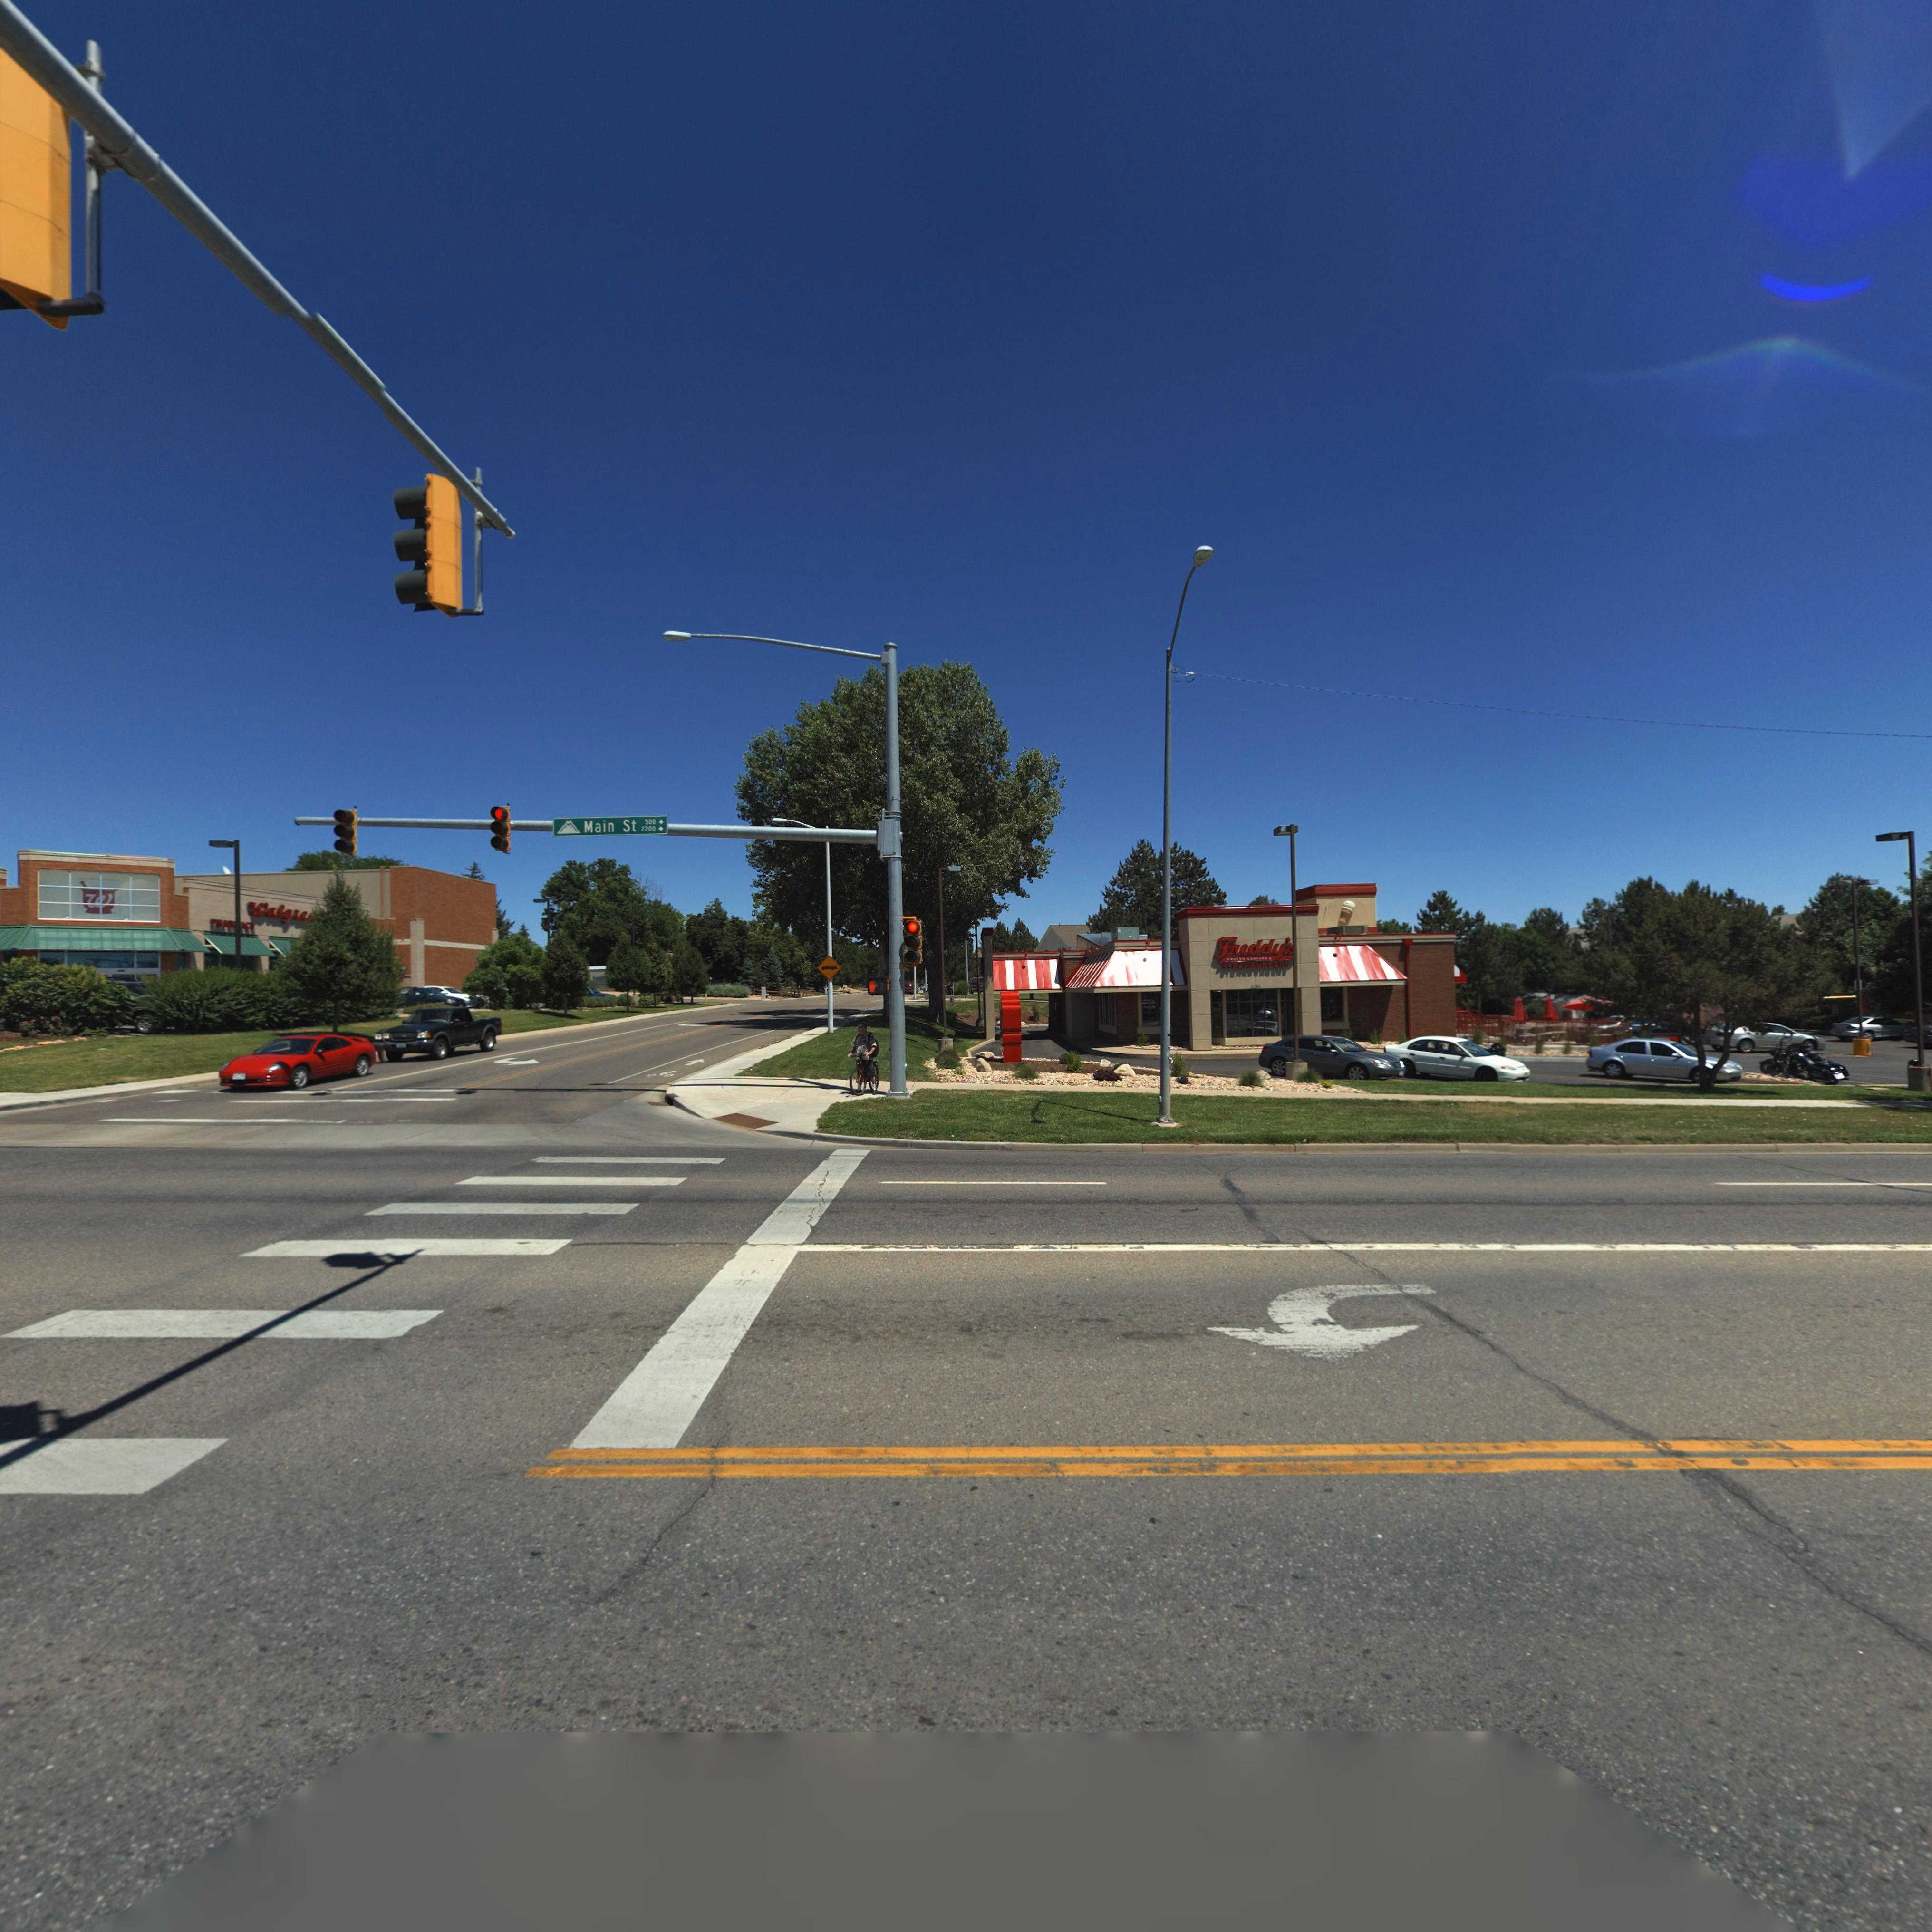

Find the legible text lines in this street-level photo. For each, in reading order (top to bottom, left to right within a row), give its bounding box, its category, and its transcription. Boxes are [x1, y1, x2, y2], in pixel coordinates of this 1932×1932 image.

[584, 819, 636, 833] StreetName: Main St
[645, 819, 656, 825] StreetNumberRange: 500
[641, 825, 664, 831] StreetNumberRange: 2200->
[248, 901, 313, 924] BusinessName: Walgre*
[1213, 936, 1294, 961] BusinessName: freddy'*
[1251, 985, 1260, 988] StreetNumber: *2*0